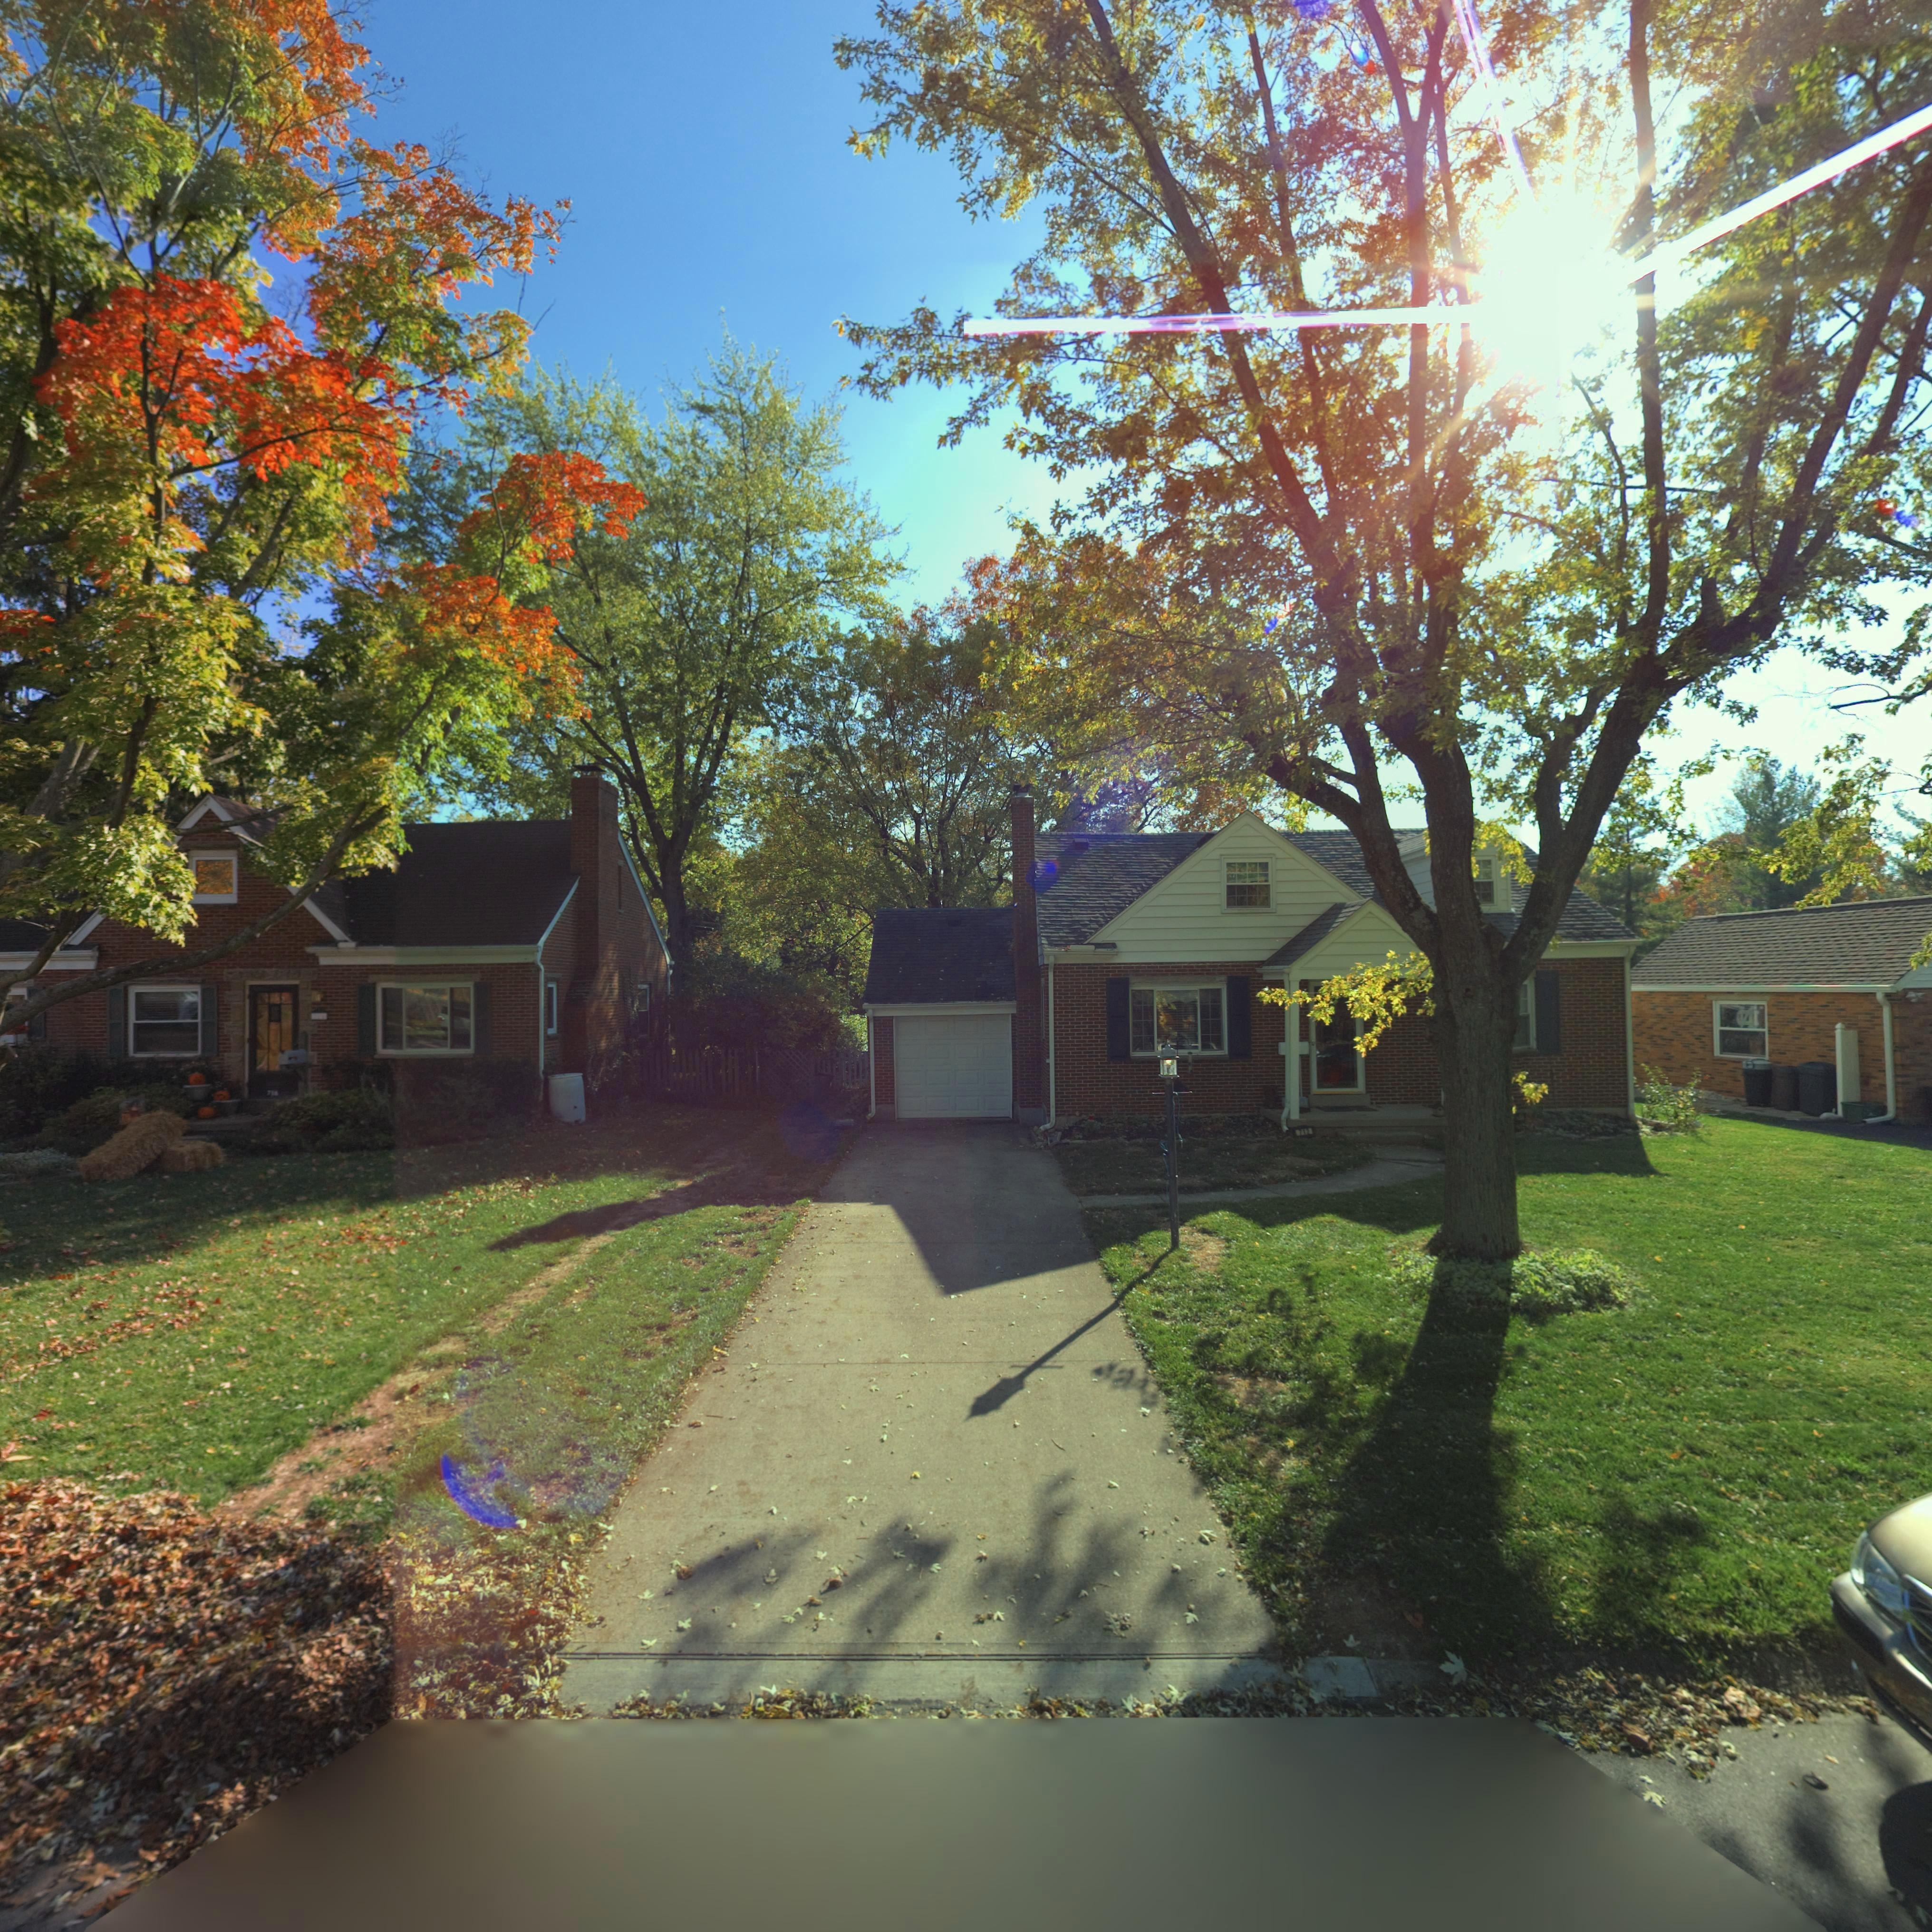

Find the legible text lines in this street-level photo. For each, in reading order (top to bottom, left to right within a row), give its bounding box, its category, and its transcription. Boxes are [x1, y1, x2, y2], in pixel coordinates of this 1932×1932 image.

[1297, 1127, 1311, 1137] StreetNumber: 712